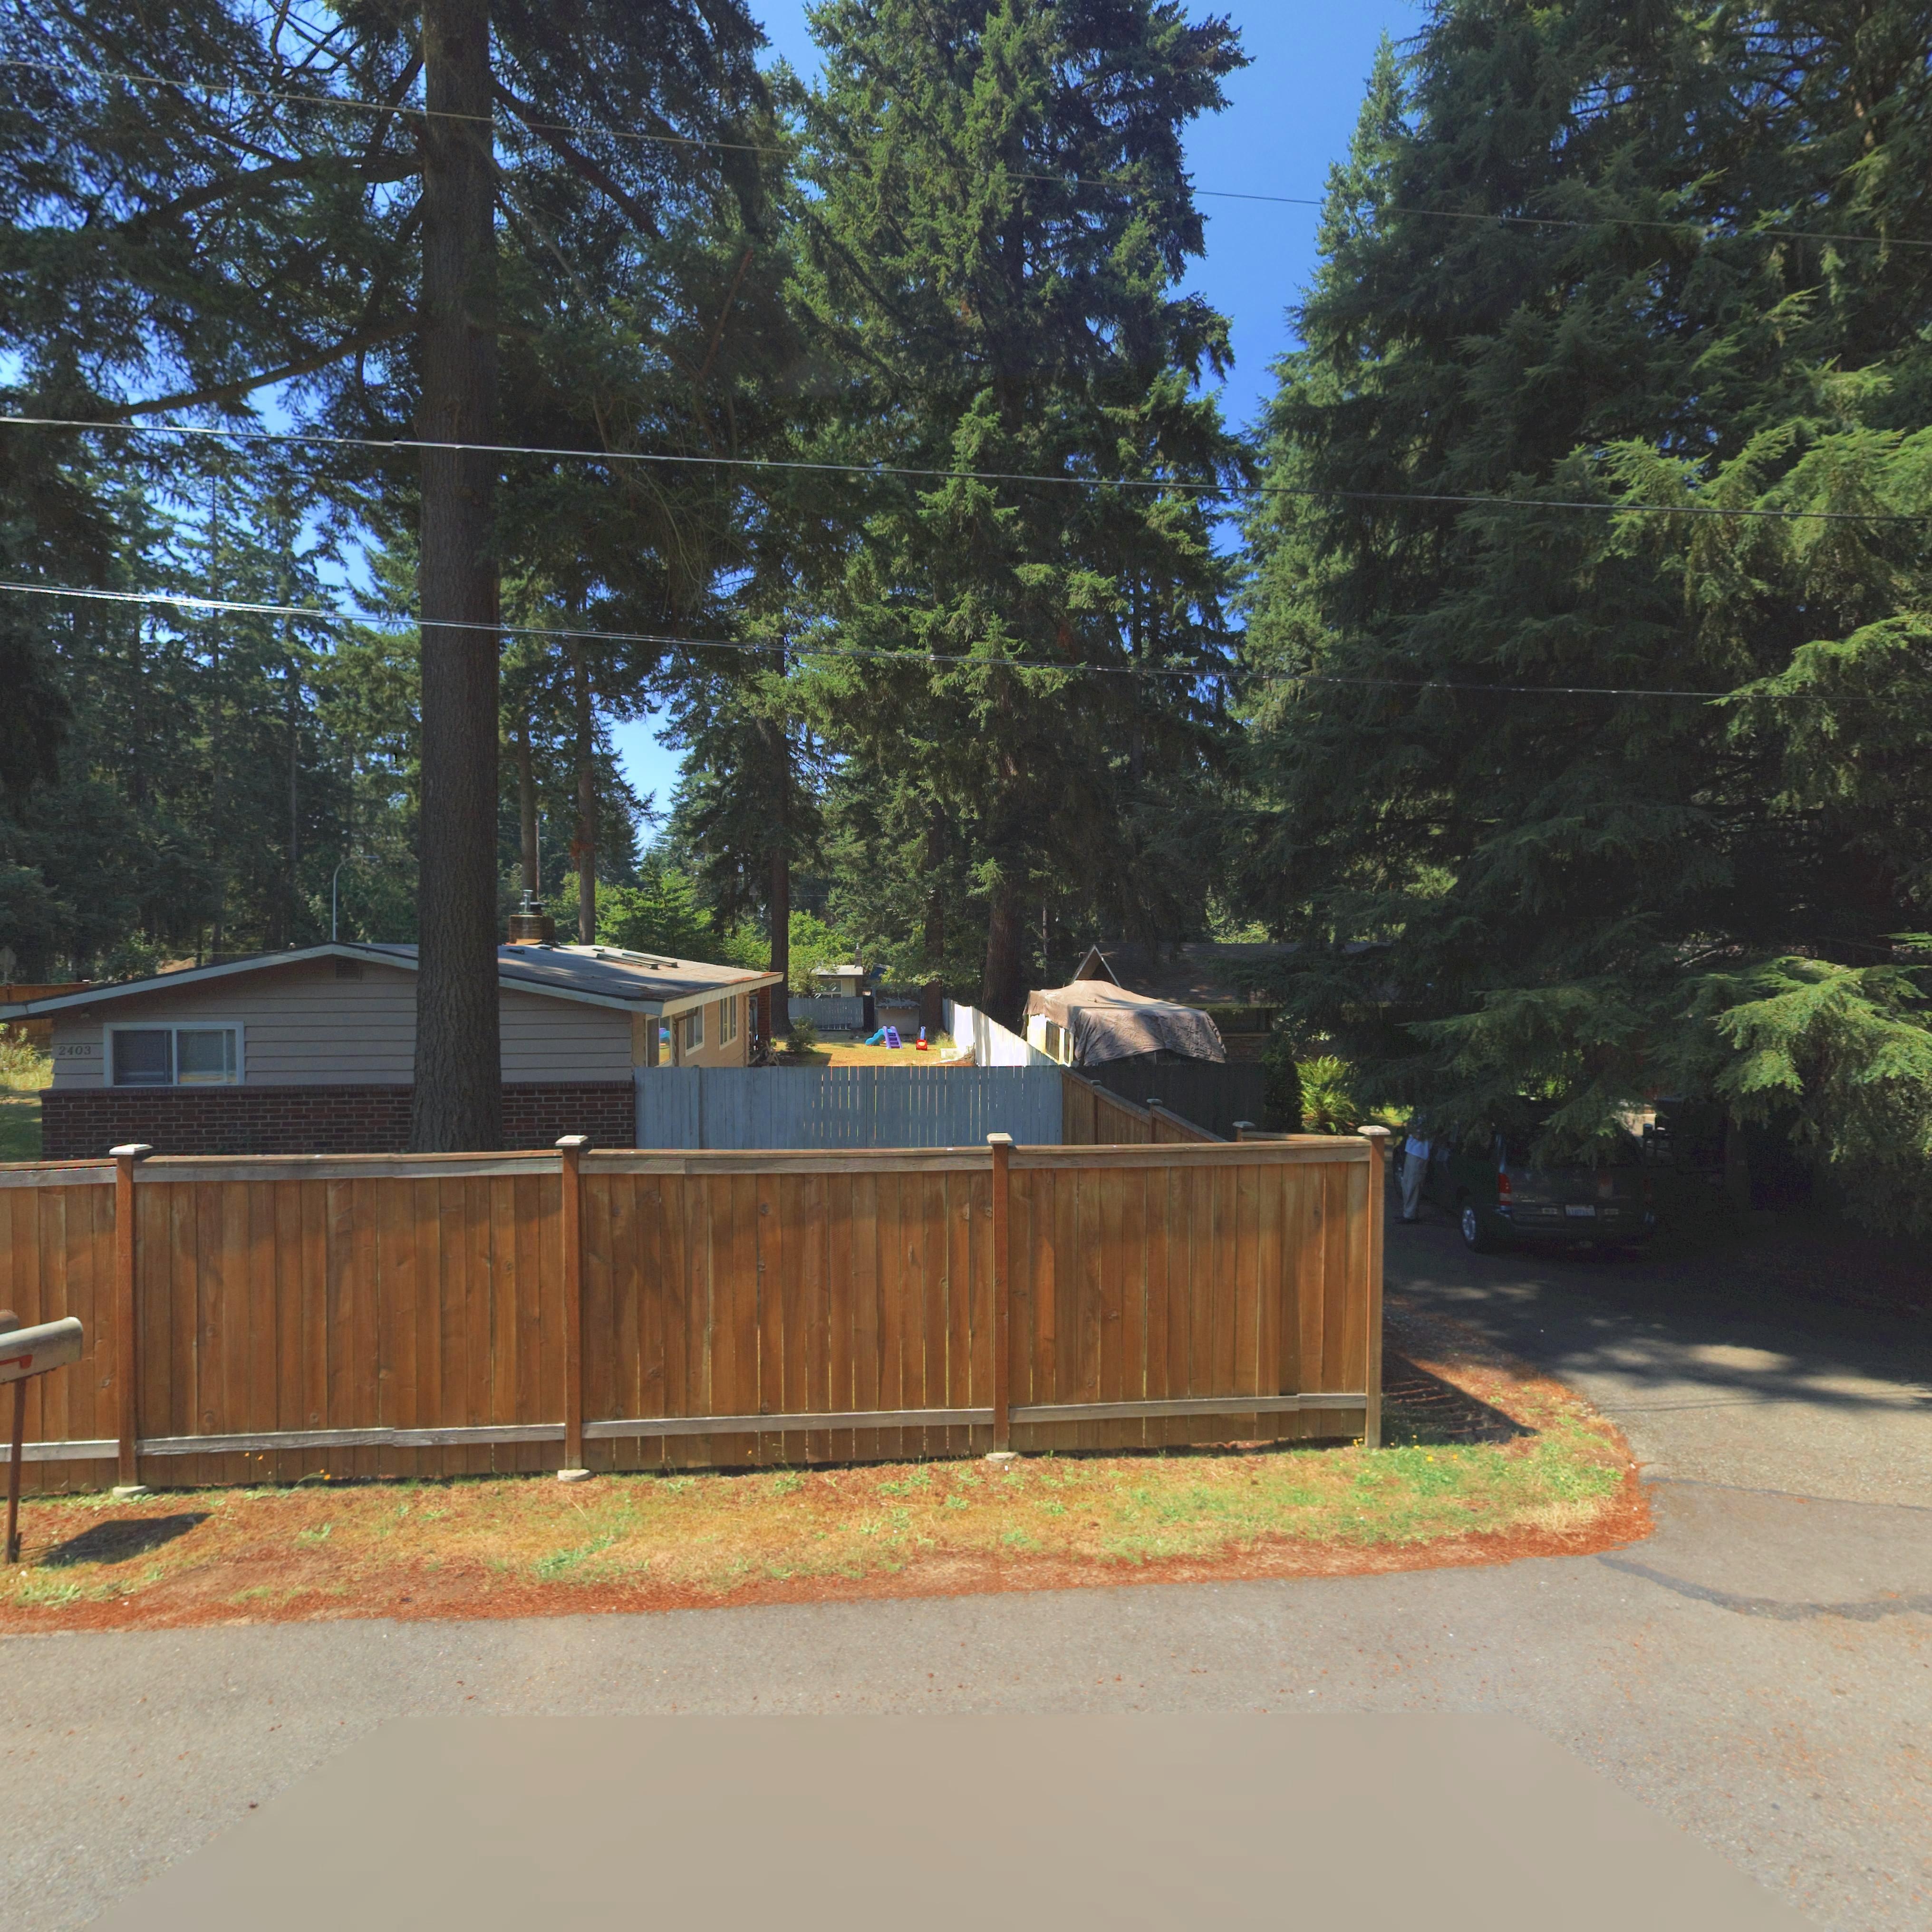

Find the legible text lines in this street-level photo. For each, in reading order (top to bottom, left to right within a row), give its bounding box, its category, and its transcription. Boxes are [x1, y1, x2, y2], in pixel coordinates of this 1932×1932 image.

[59, 1046, 90, 1055] StreetNumber: 2403